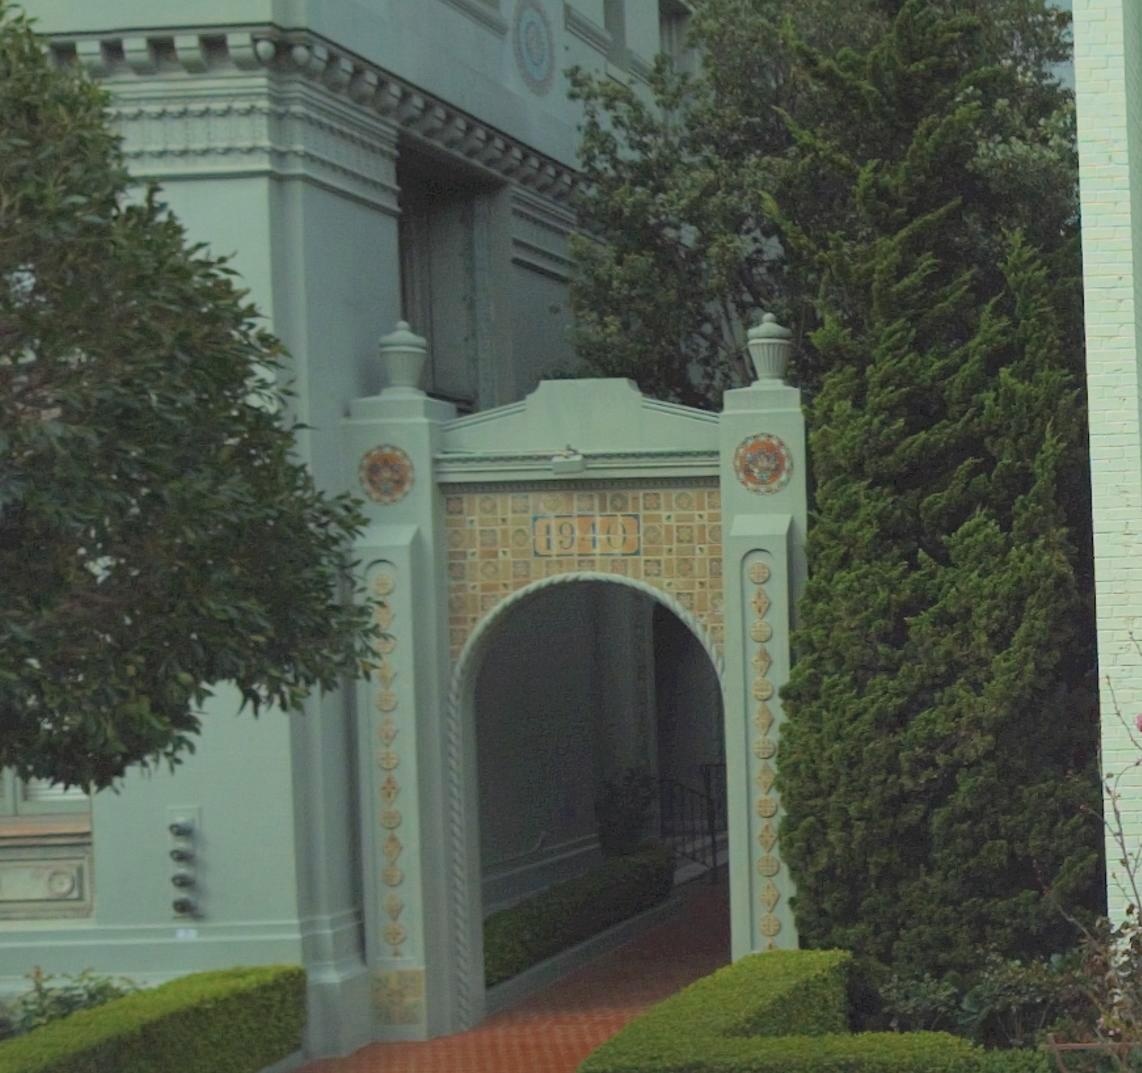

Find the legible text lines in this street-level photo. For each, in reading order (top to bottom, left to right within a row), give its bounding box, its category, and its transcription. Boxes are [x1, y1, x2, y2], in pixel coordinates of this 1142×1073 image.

[542, 518, 629, 554] StreetNumber: 1940